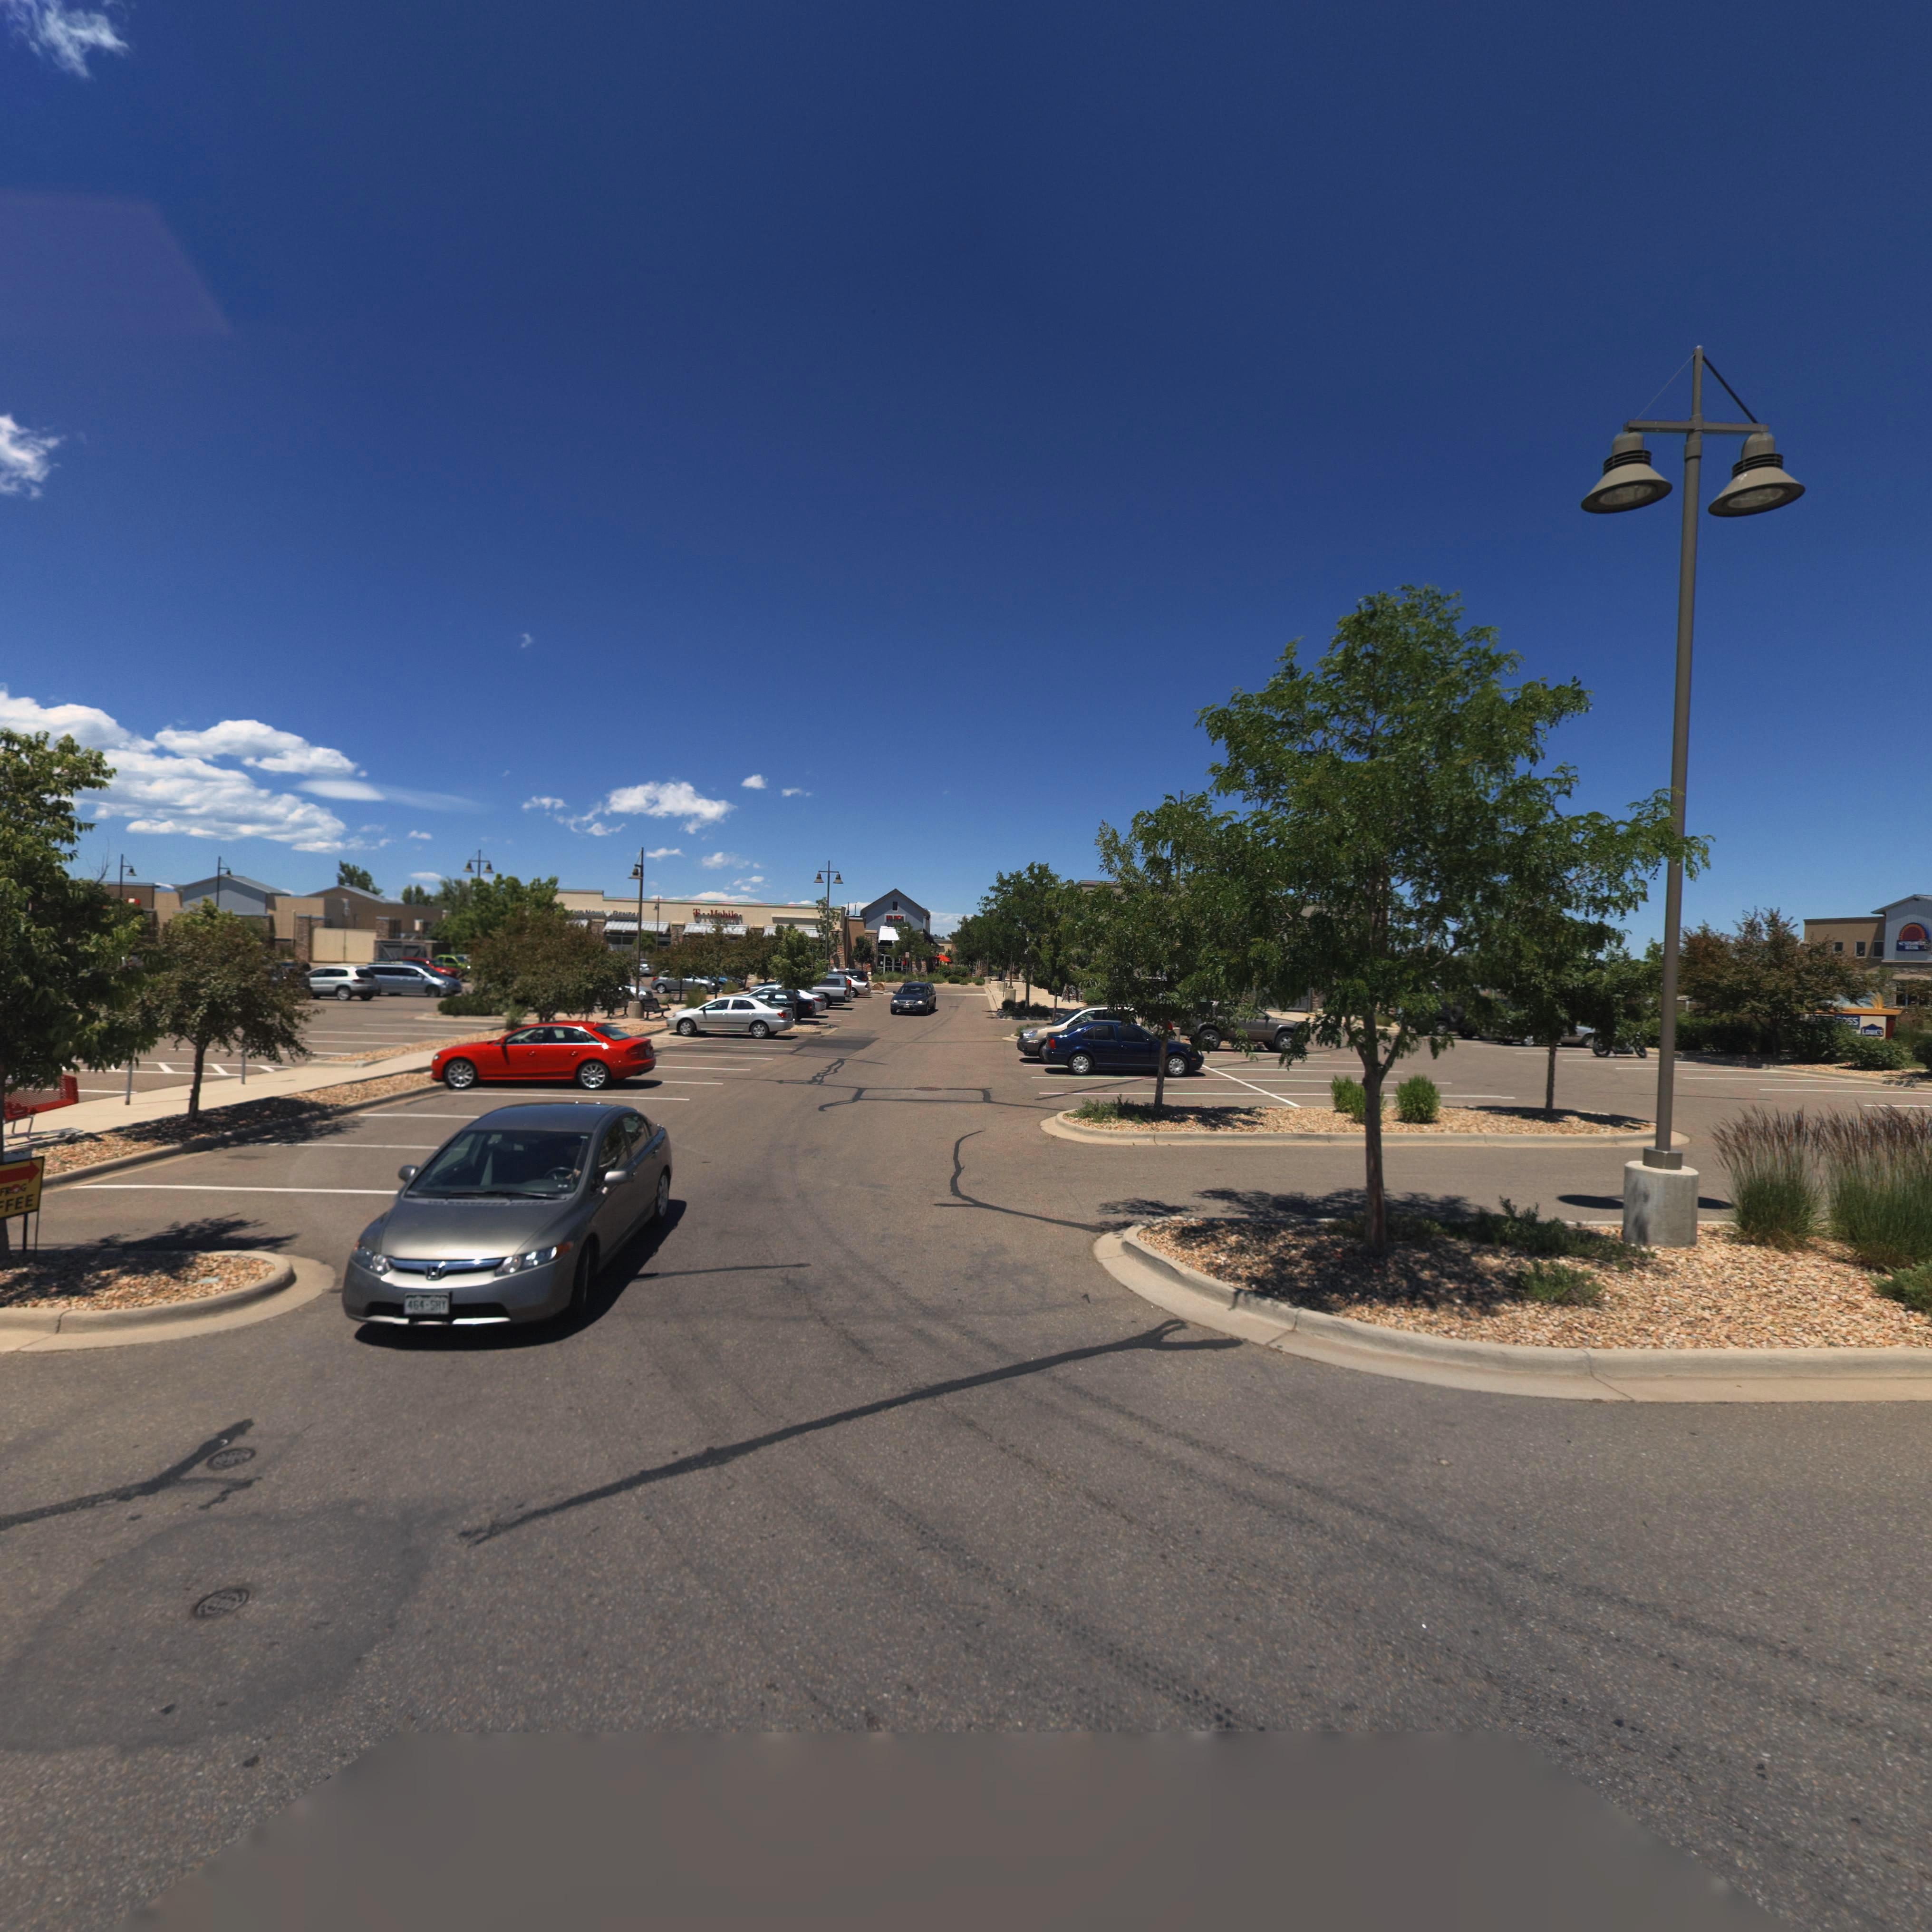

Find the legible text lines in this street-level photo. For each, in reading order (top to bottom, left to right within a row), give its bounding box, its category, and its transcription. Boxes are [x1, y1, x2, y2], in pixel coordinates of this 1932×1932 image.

[574, 908, 639, 918] StreetName: HT NOW! * DENTAL
[693, 908, 738, 919] BusinessName: T *** M*bile
[886, 915, 904, 919] BusinessName: RED FR*G
[886, 919, 904, 922] BusinessName: COFFEE
[1898, 940, 1926, 946] BusinessName: SUNFLOWER
[1905, 945, 1919, 949] BusinessName: BANK
[1847, 1017, 1858, 1025] BusinessName: SS
[1861, 1028, 1883, 1035] BusinessName: LOWE'S